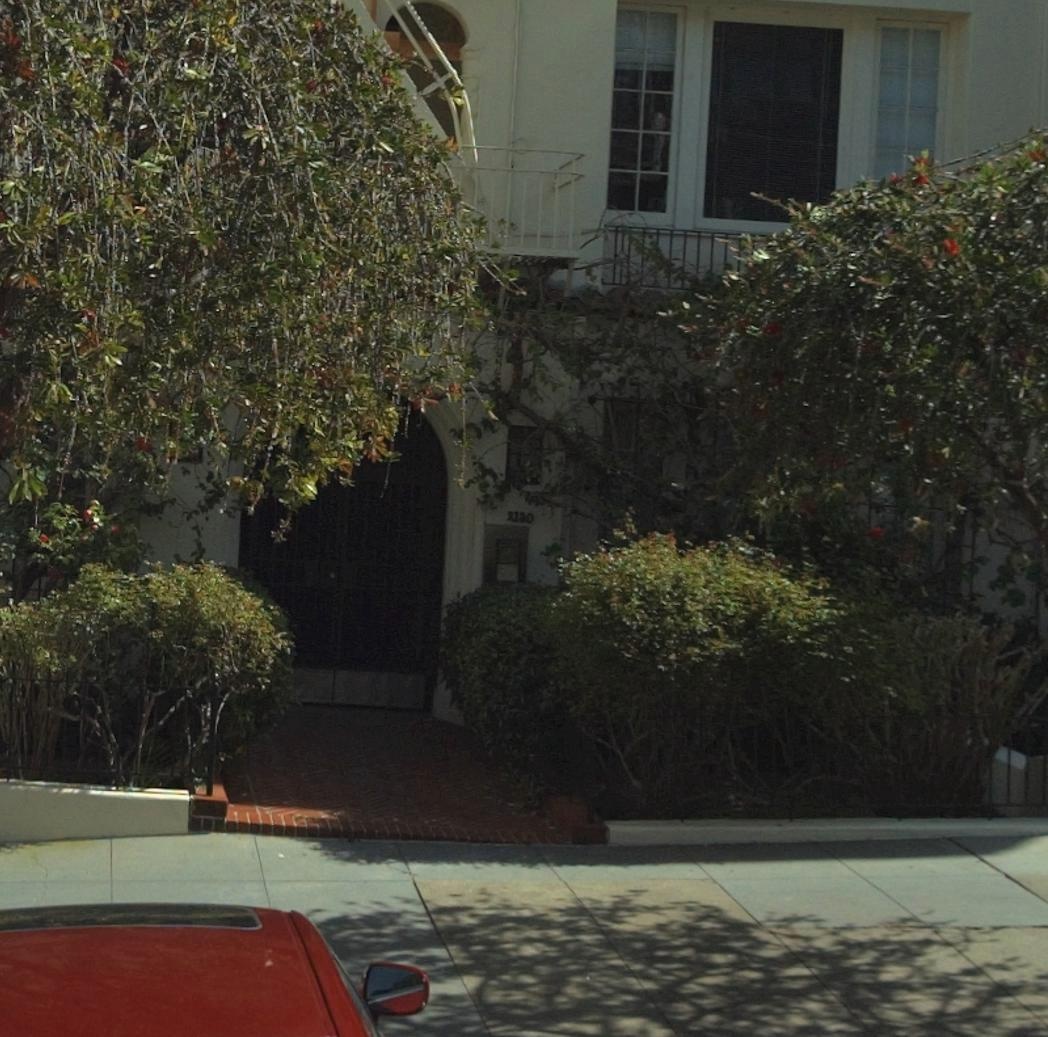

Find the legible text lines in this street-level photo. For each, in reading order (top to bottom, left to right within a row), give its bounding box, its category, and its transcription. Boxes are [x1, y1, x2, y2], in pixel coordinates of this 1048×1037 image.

[504, 509, 536, 526] StreetNumber: 2130